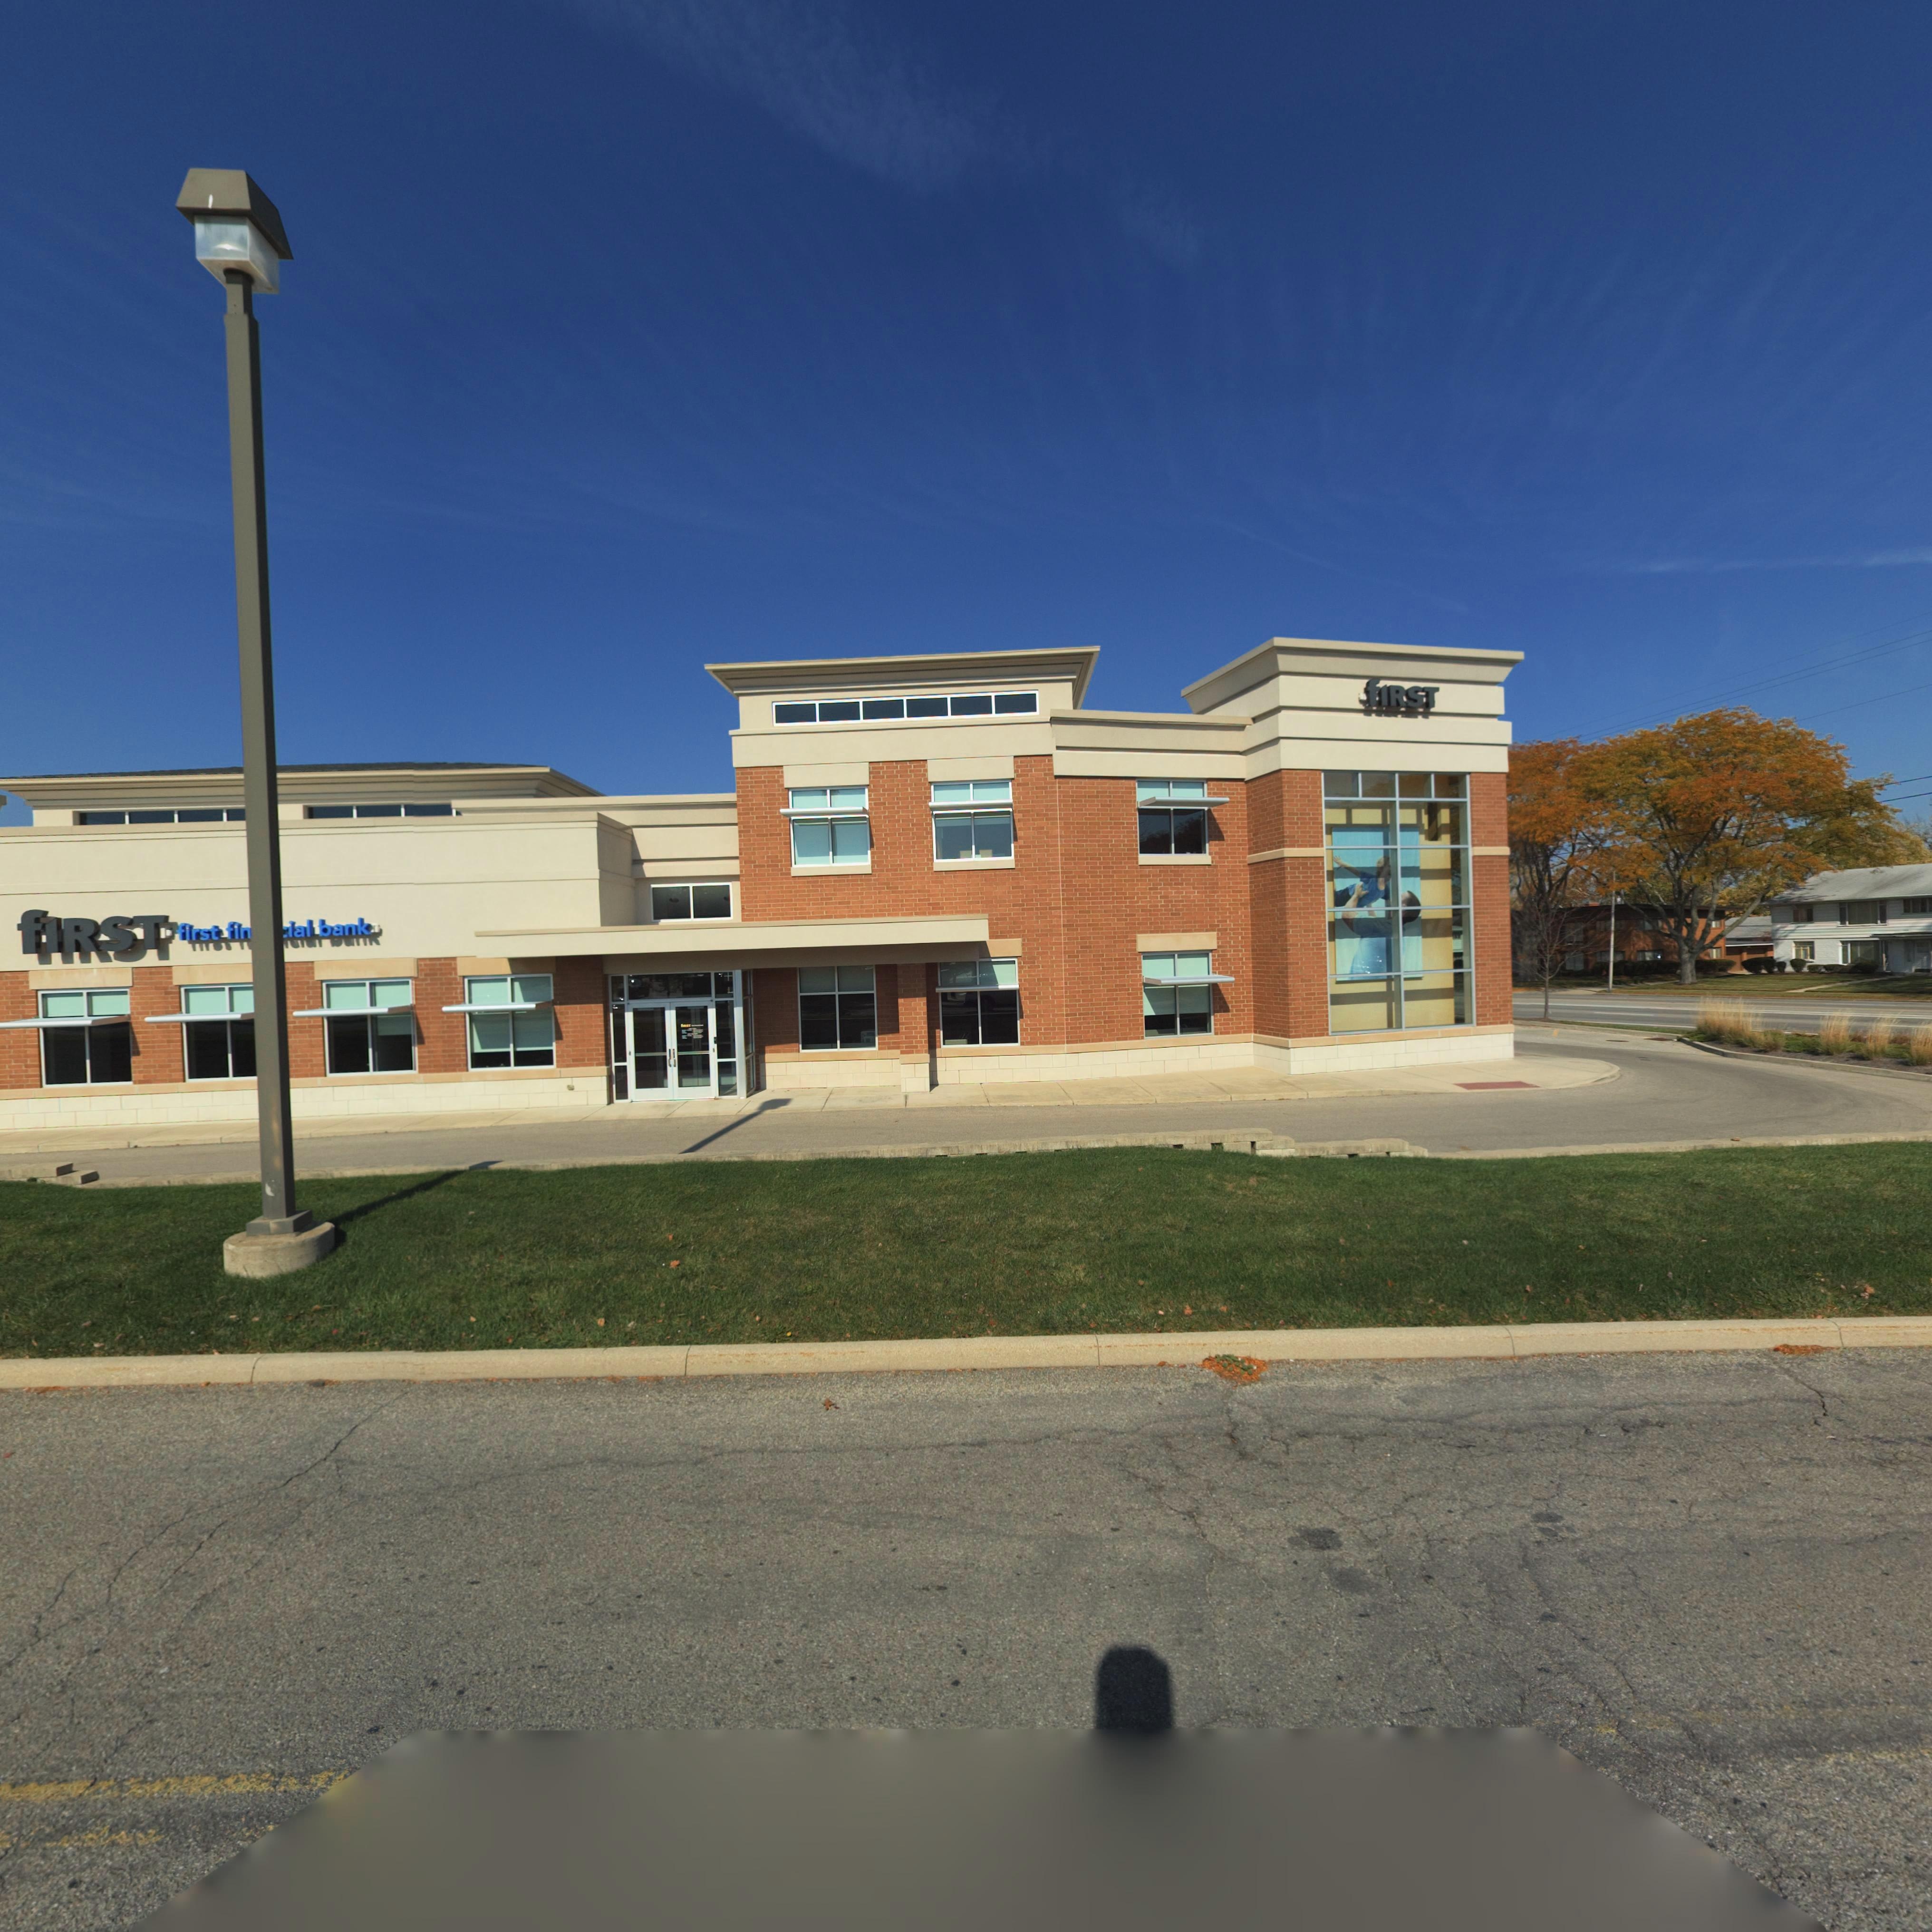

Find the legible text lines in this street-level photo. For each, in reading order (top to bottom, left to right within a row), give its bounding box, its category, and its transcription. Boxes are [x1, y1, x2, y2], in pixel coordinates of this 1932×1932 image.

[1365, 676, 1440, 708] BusinessName: fIRST
[16, 908, 166, 955] BusinessName: fIRST
[175, 917, 370, 942] BusinessName: fist fin***ial bank